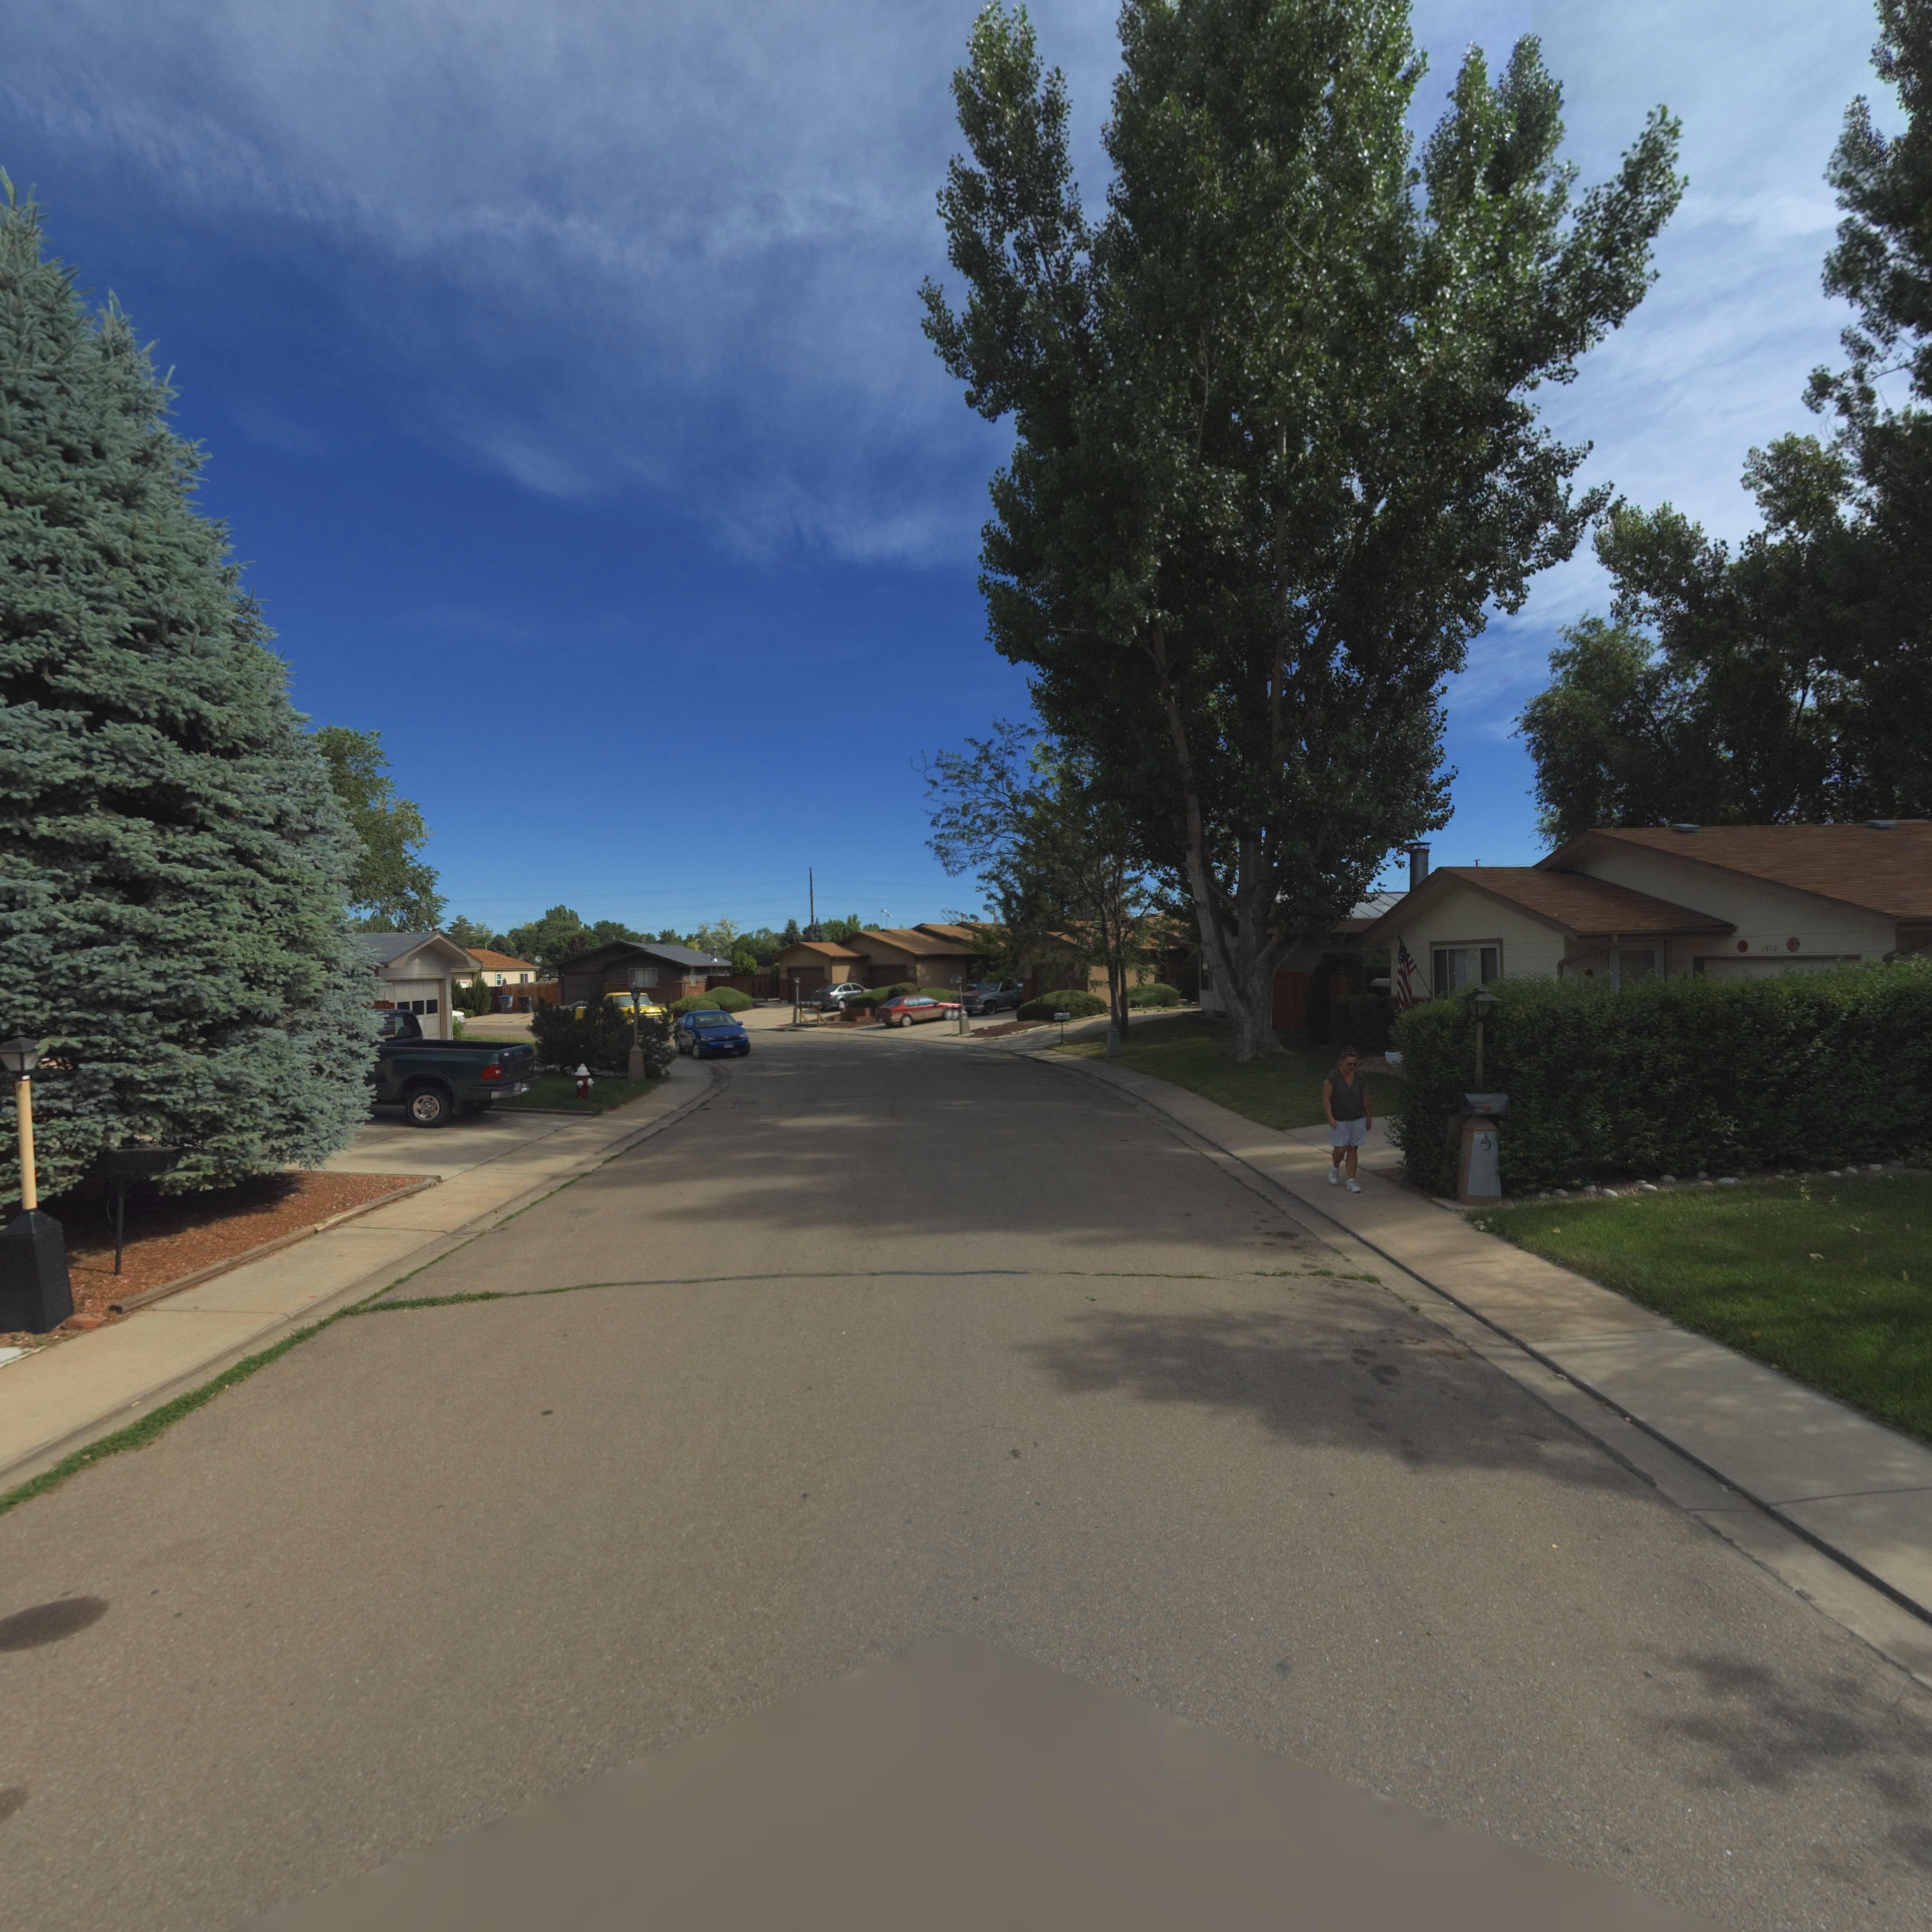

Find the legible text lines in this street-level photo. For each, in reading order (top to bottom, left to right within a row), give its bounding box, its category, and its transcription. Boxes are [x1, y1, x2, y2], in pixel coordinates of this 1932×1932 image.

[1761, 944, 1778, 952] StreetNumber: 1912